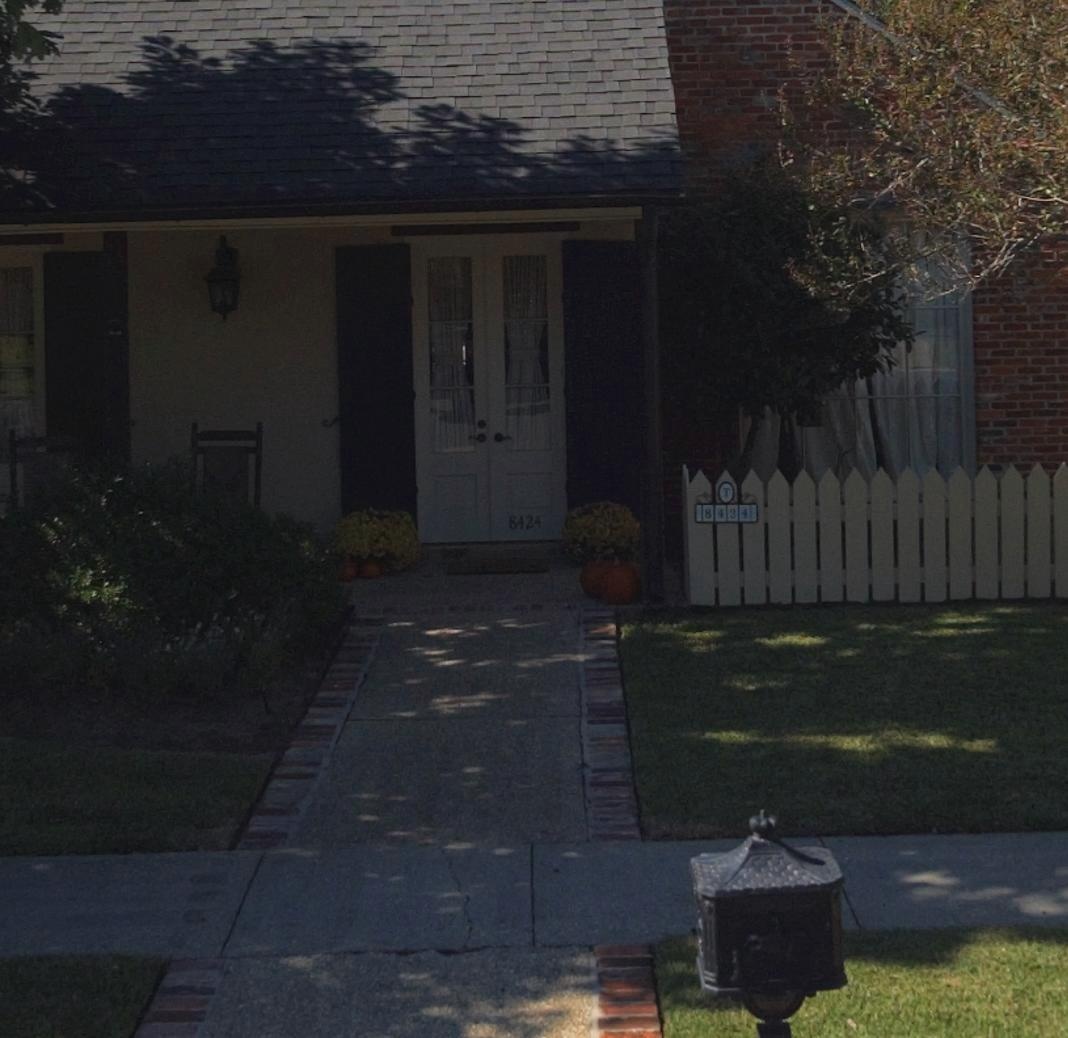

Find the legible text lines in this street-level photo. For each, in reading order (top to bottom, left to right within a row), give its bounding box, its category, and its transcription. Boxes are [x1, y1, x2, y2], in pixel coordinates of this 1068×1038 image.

[722, 487, 731, 498] None: T
[704, 508, 748, 519] StreetNumber: 8424
[508, 514, 542, 530] StreetNumber: 8424